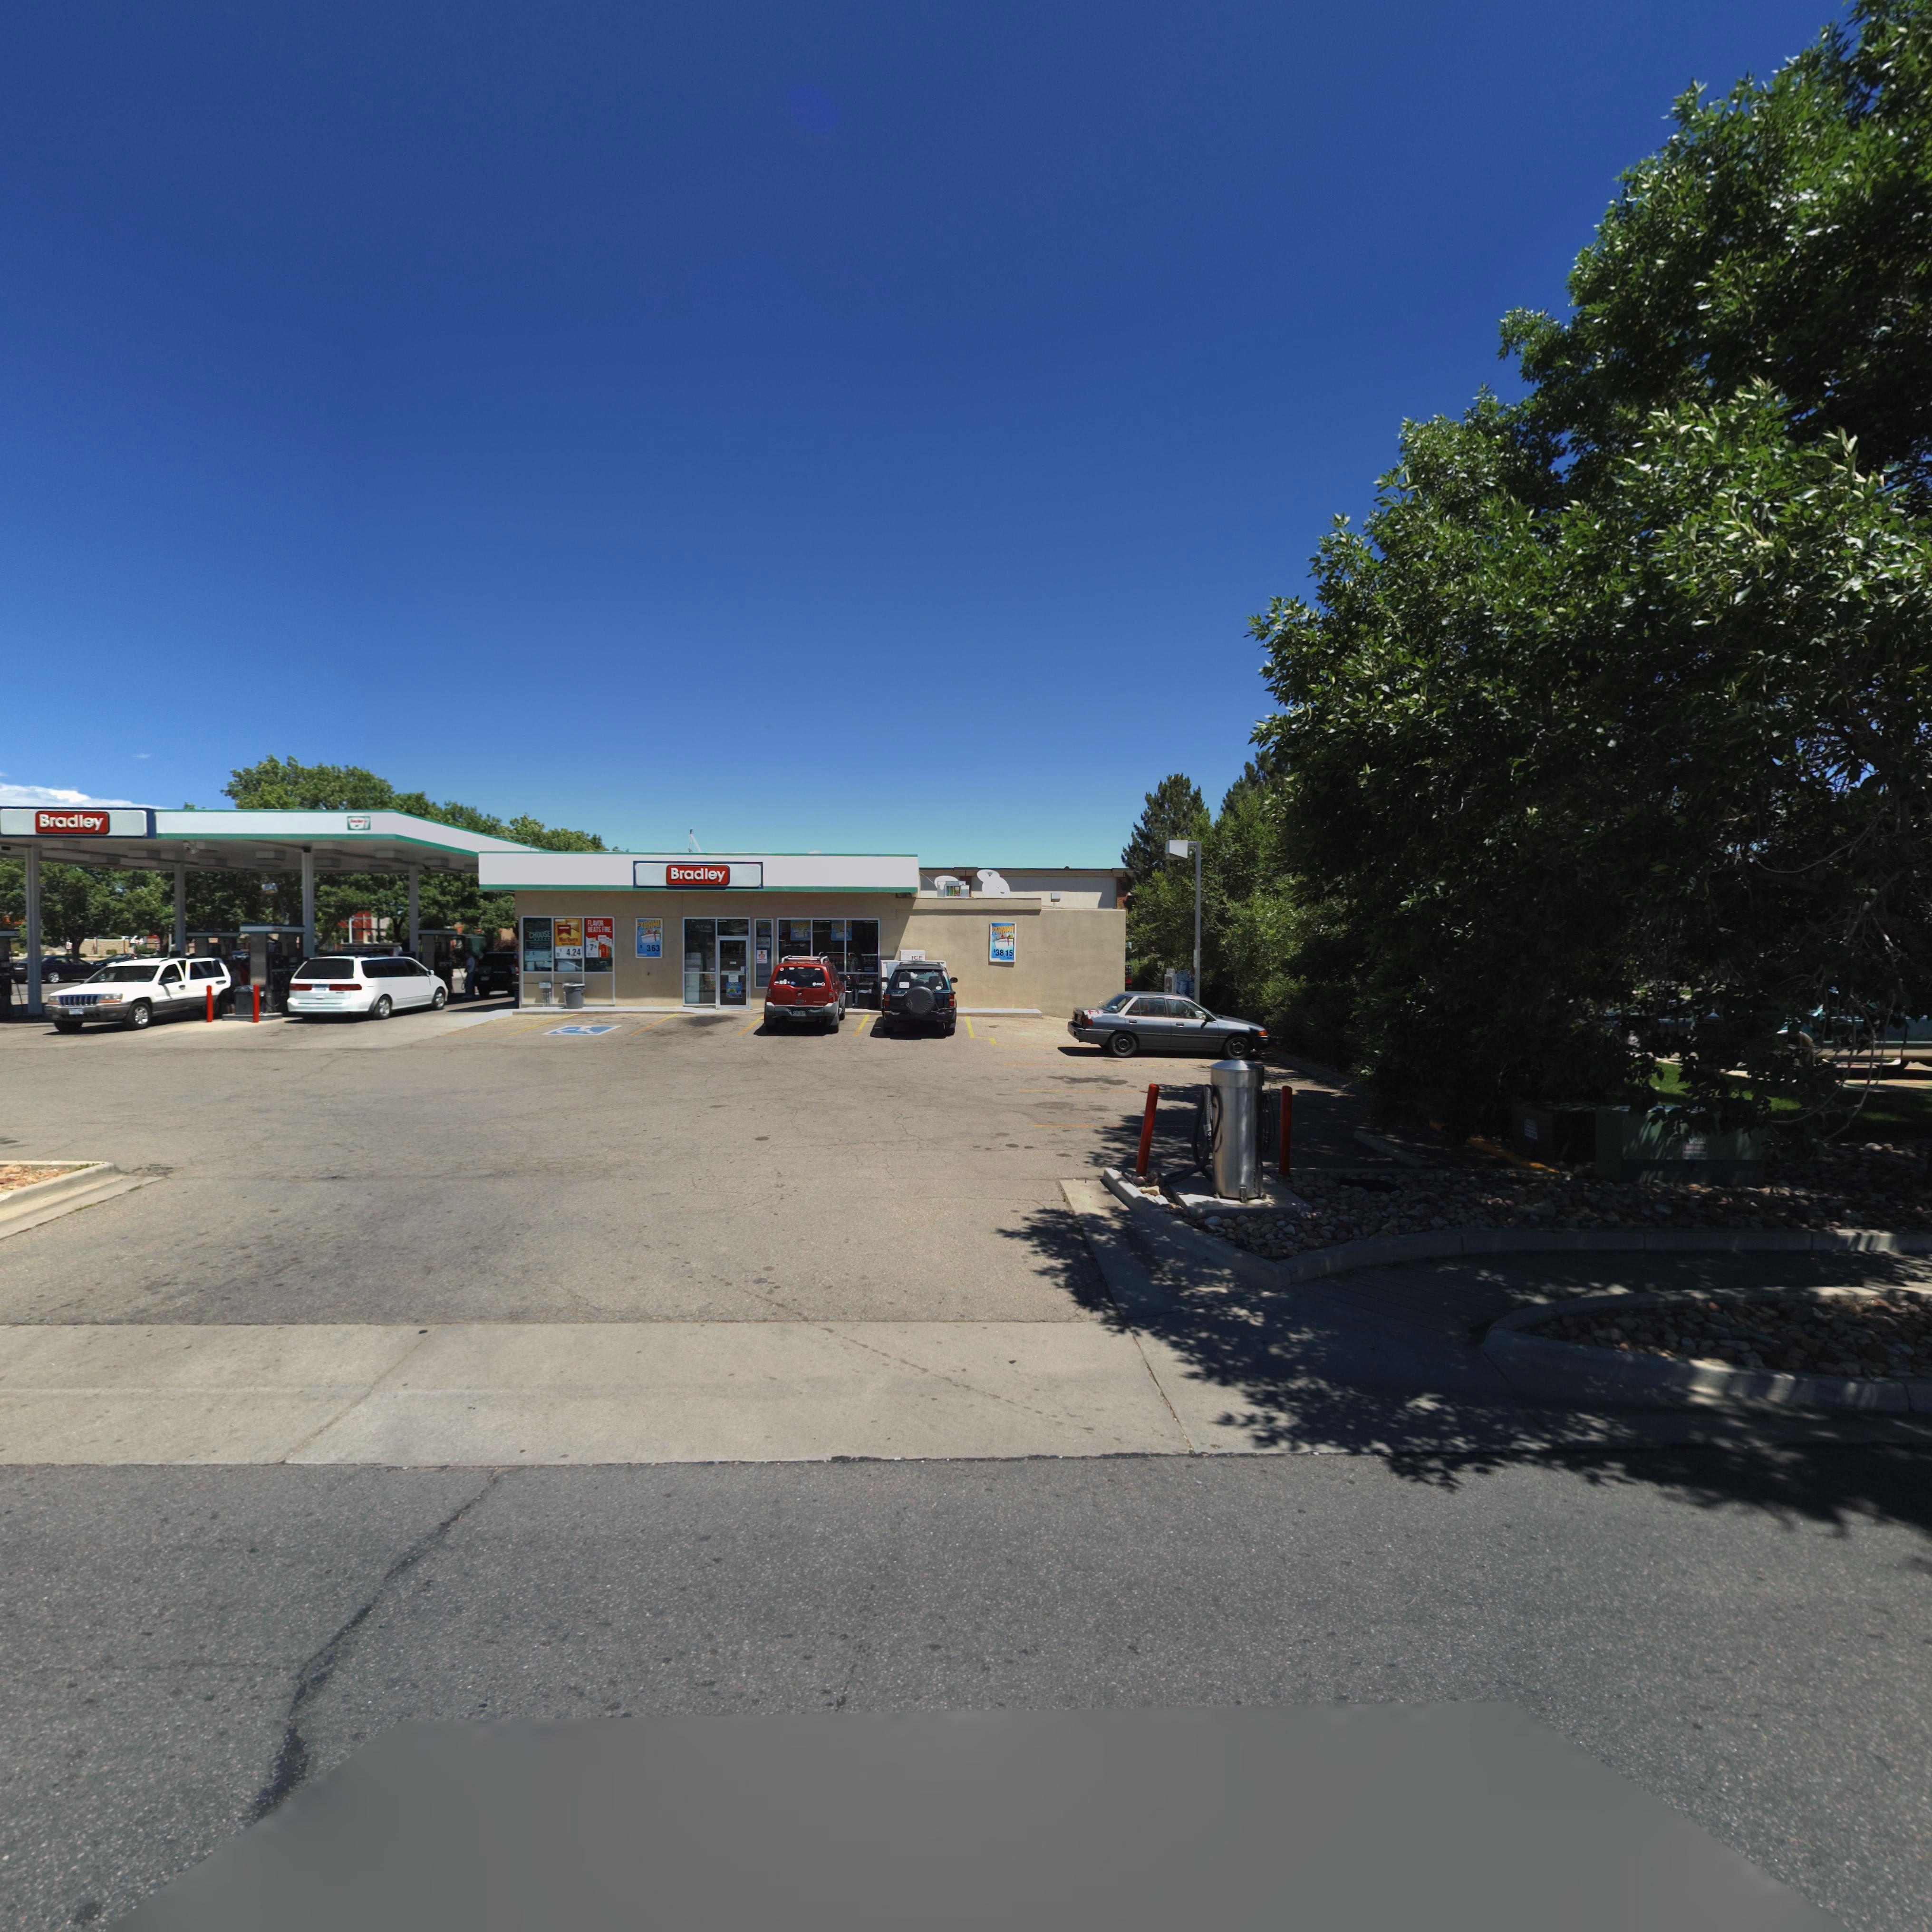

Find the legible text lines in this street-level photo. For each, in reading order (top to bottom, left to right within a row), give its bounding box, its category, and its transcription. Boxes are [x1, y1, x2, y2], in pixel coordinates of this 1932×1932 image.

[38, 813, 105, 831] BusinessName: Bradley
[670, 867, 726, 883] BusinessName: Bradley